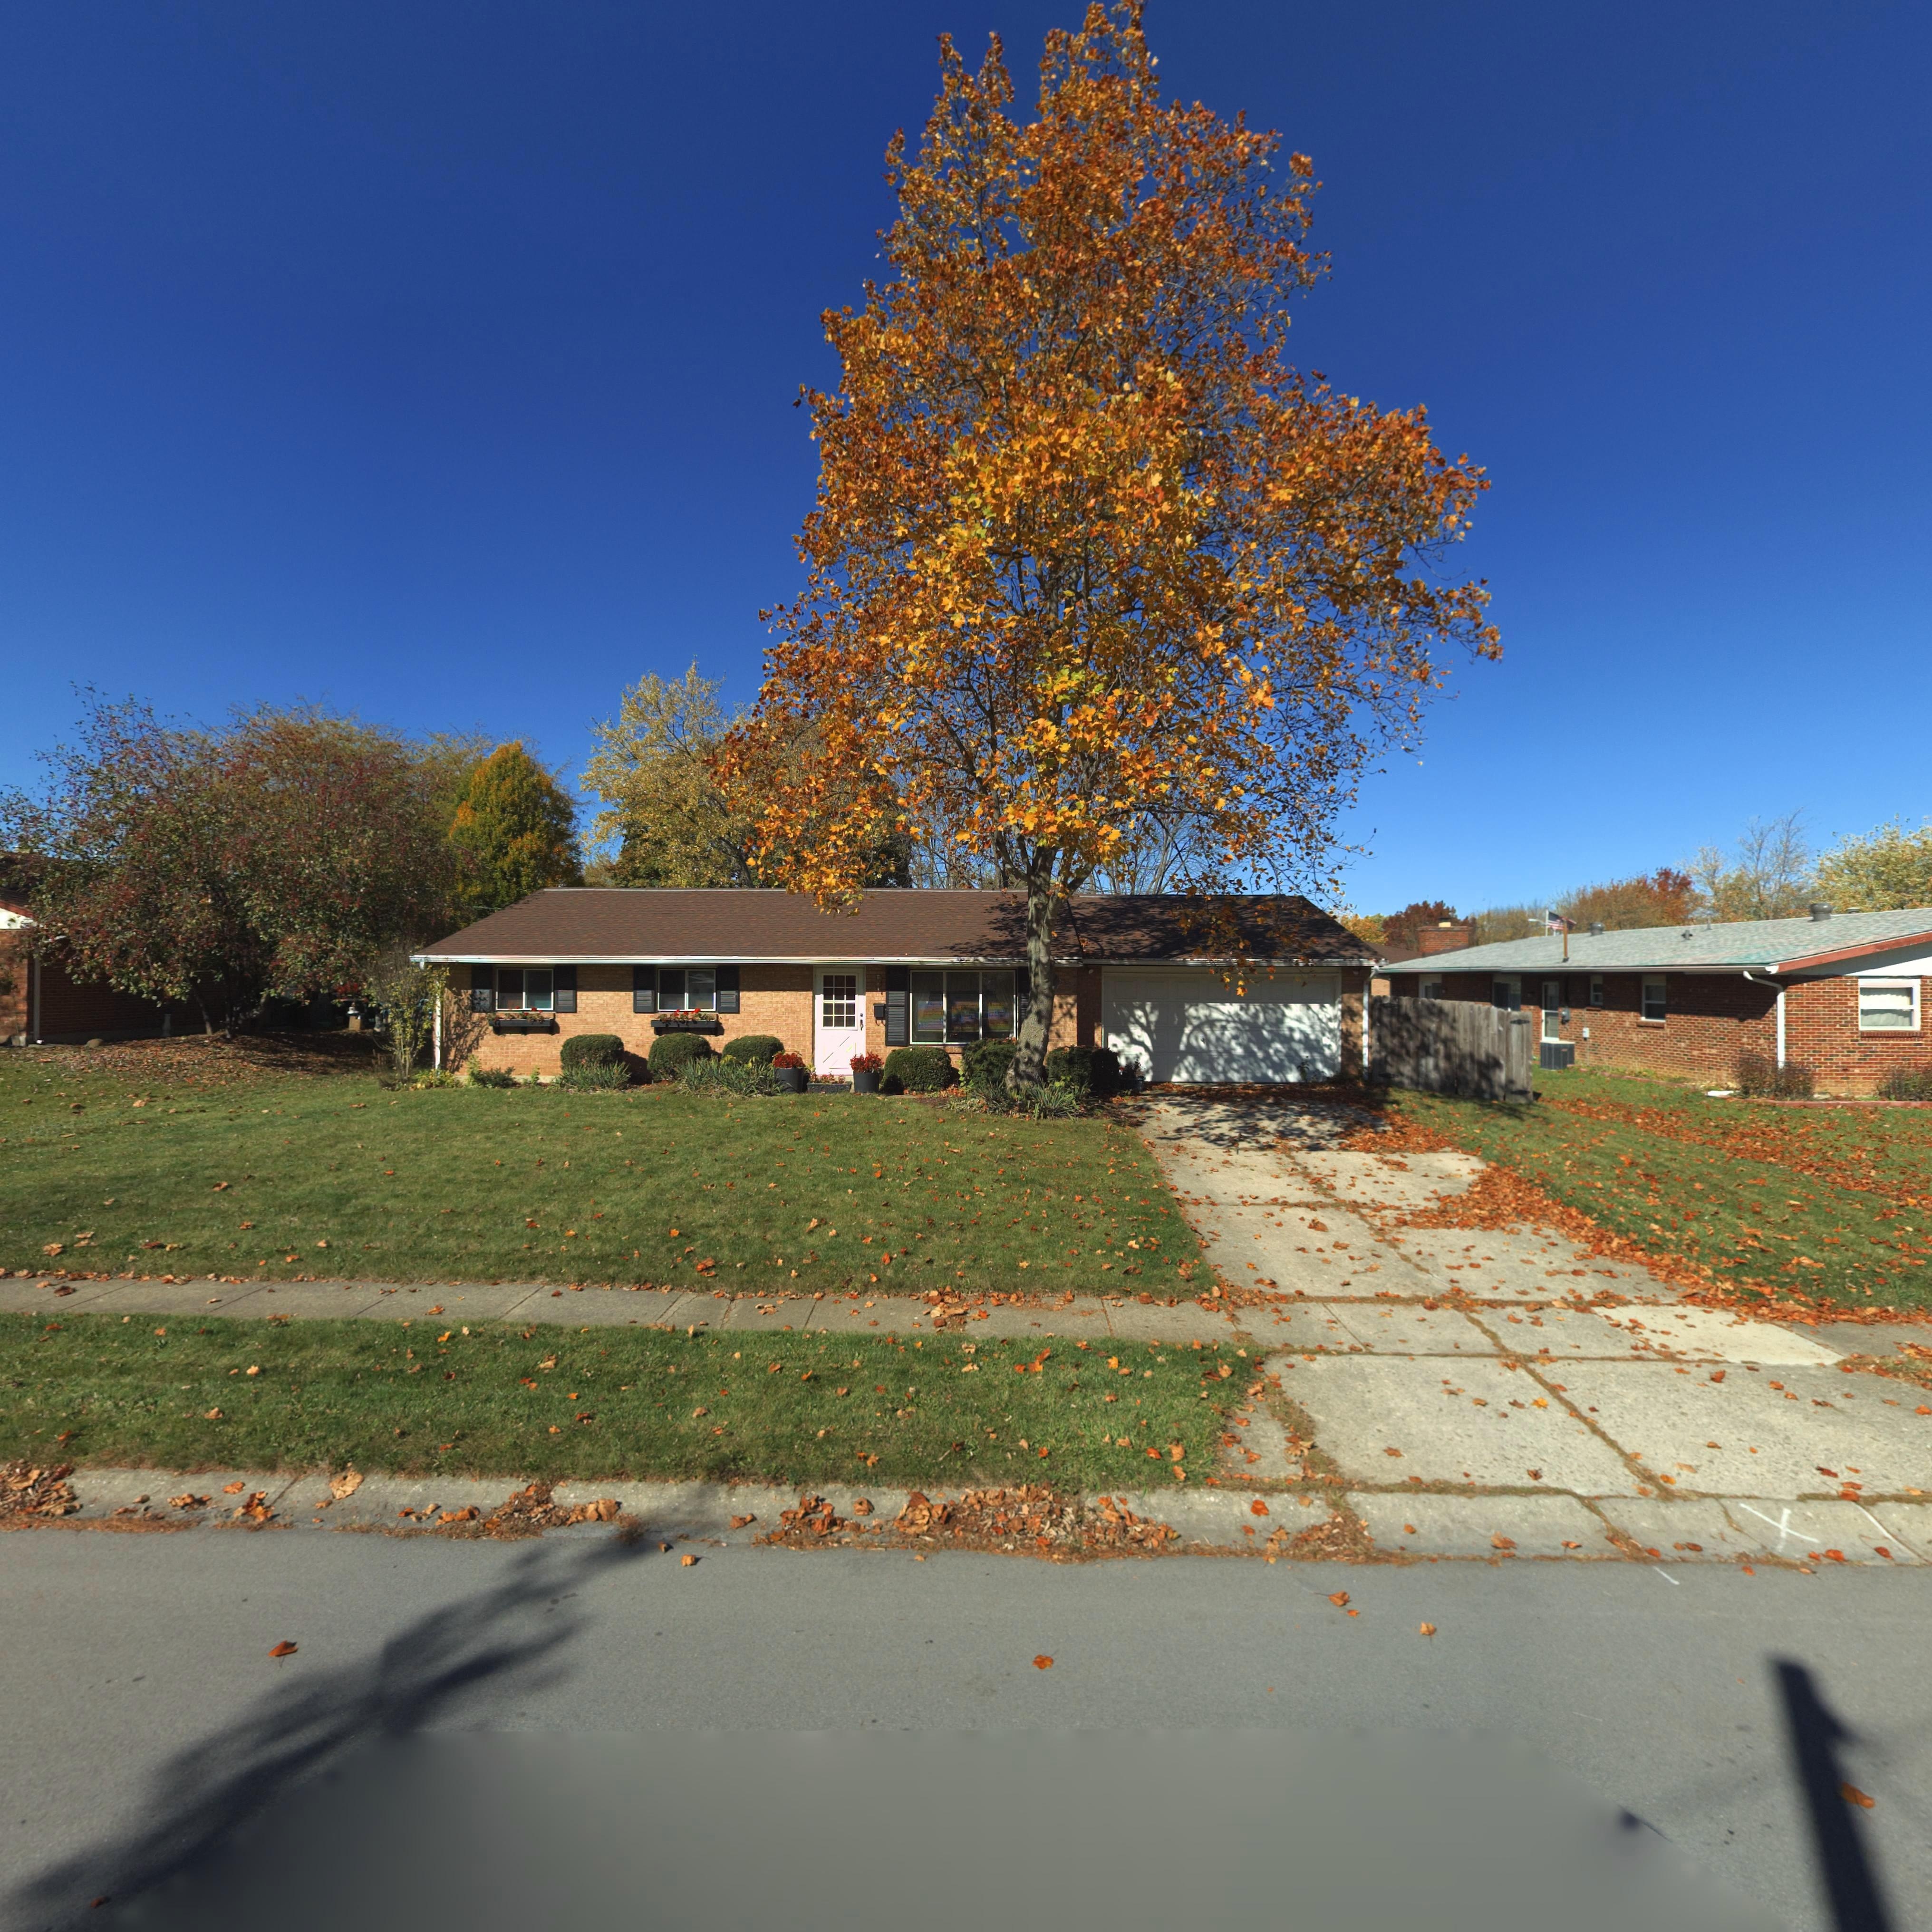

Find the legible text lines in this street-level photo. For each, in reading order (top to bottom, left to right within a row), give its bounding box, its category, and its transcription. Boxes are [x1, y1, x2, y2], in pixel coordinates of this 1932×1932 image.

[1214, 968, 1219, 973] StreetNumber: 0